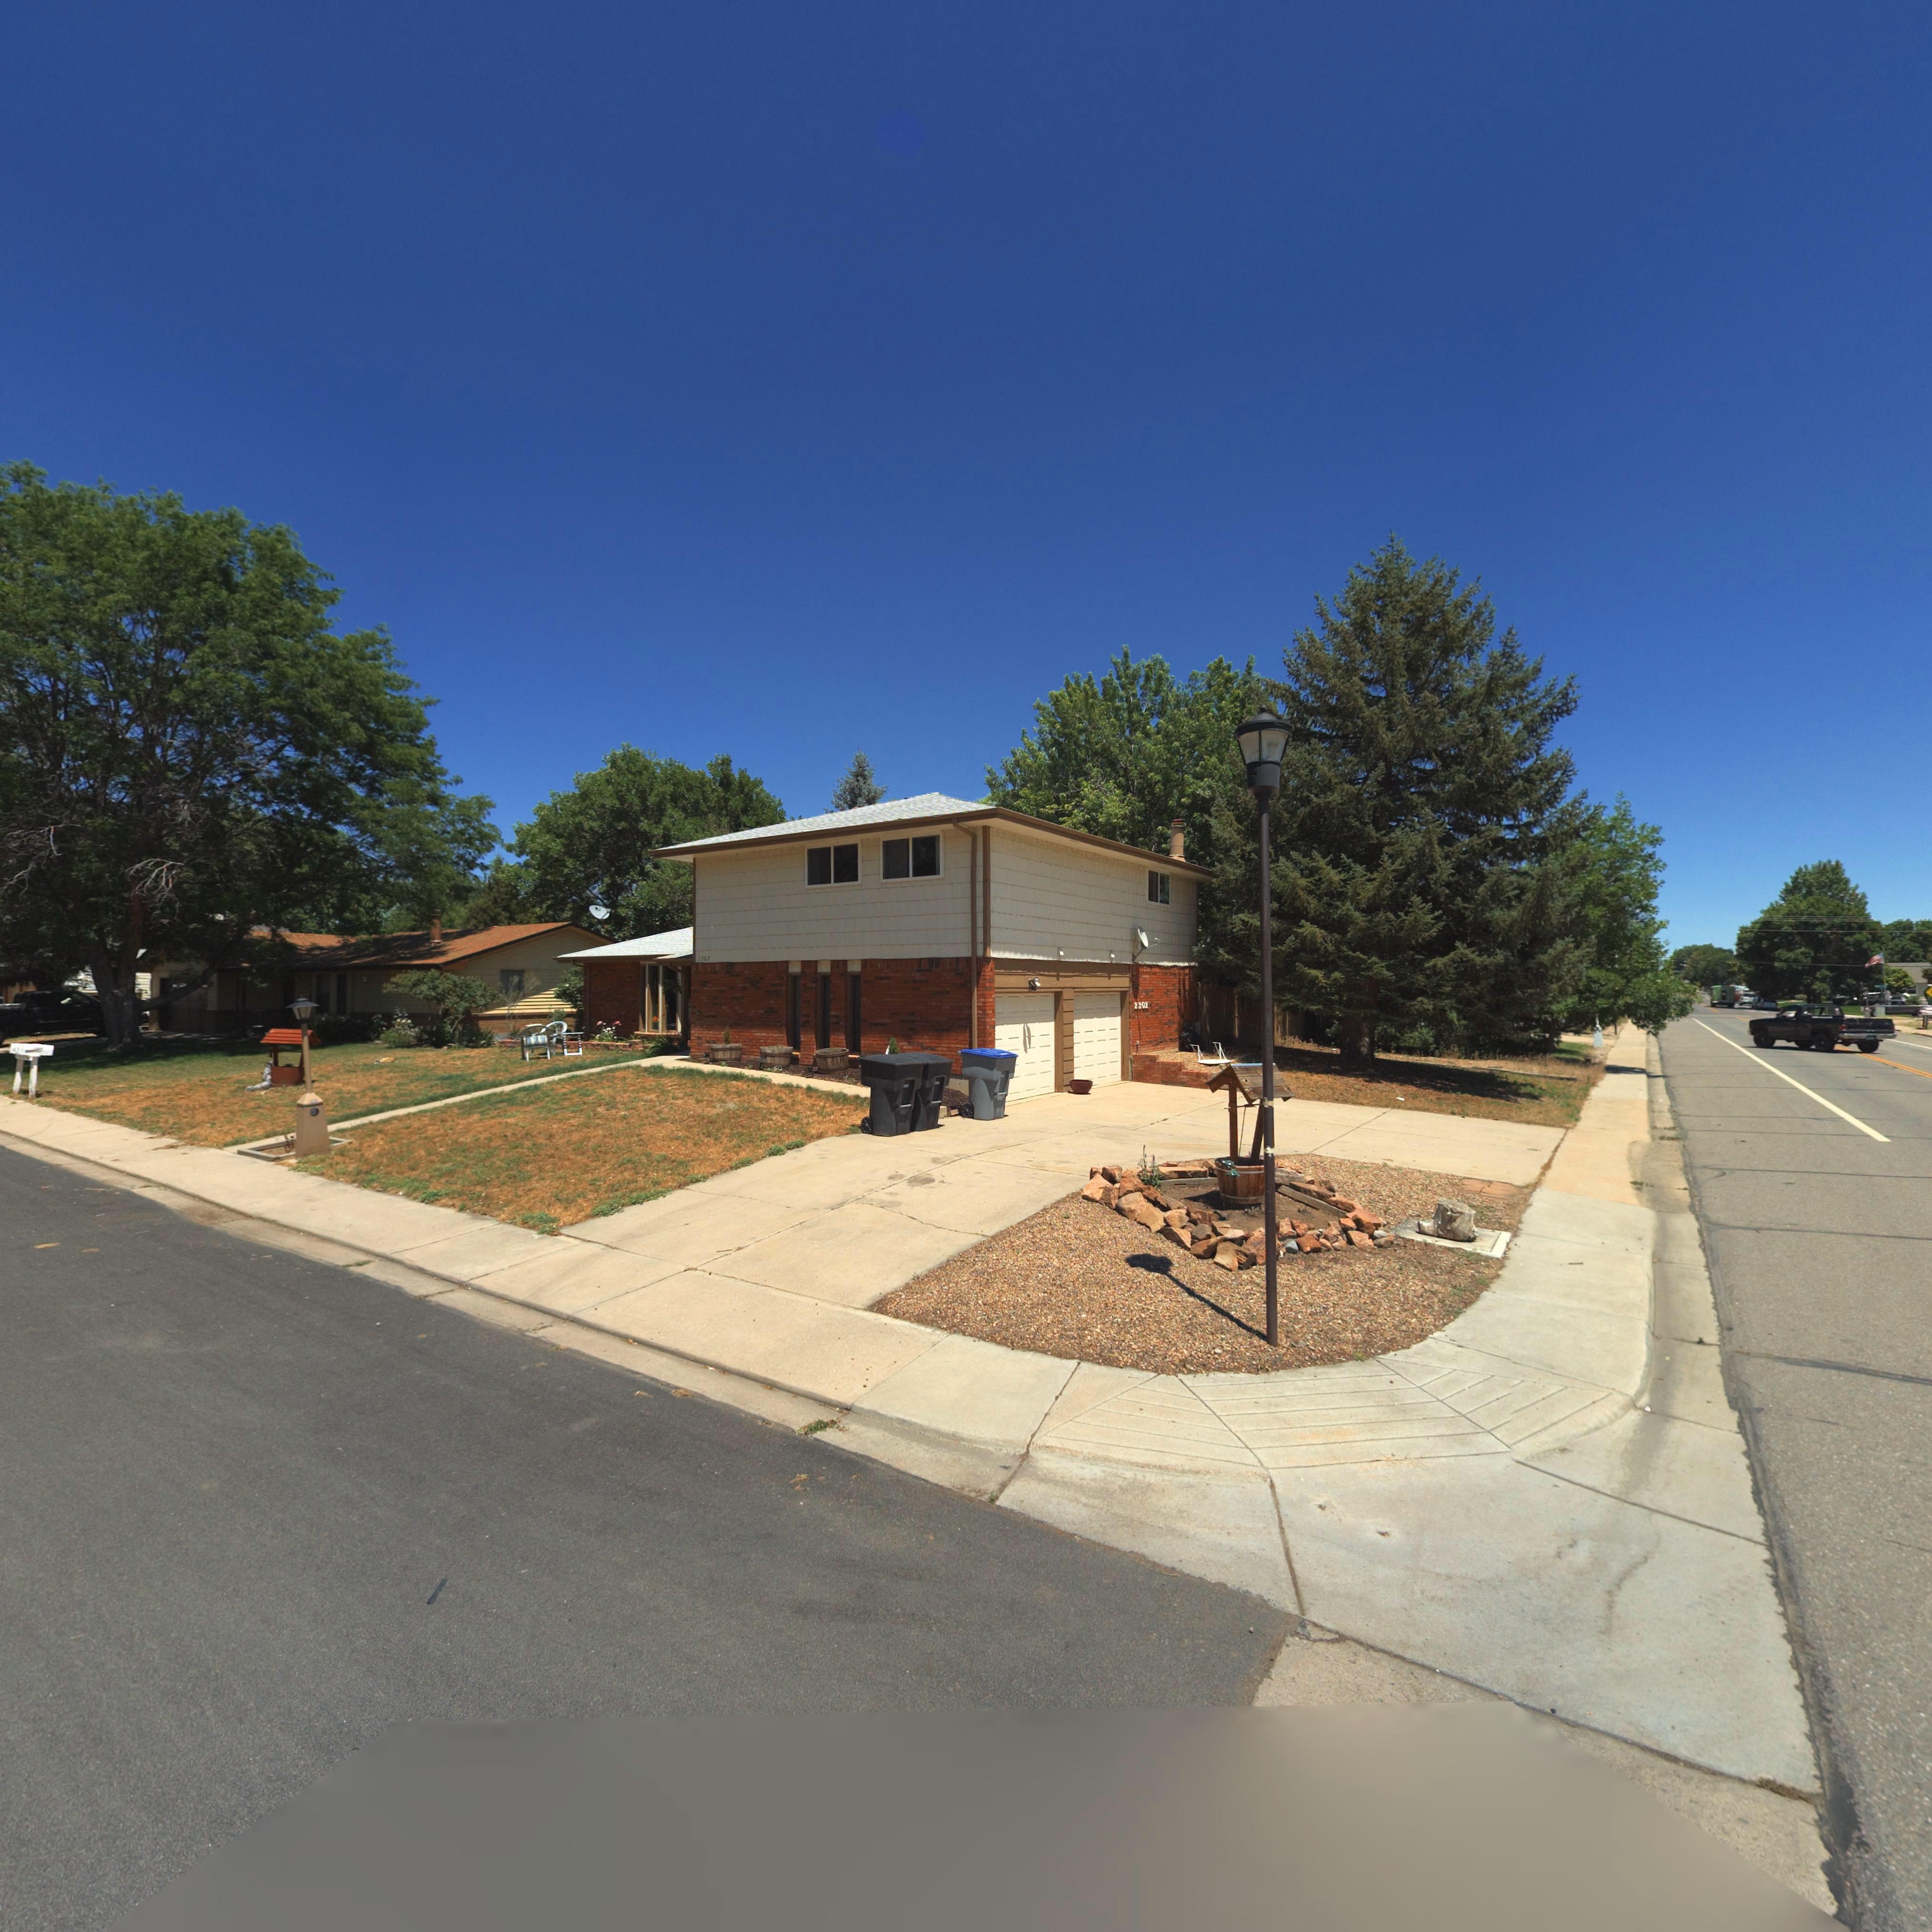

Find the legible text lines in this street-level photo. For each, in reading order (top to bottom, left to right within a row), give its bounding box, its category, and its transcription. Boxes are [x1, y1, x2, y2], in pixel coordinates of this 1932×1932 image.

[697, 956, 710, 961] StreetNumber: 2302
[1134, 1001, 1149, 1009] StreetNumber: 2302